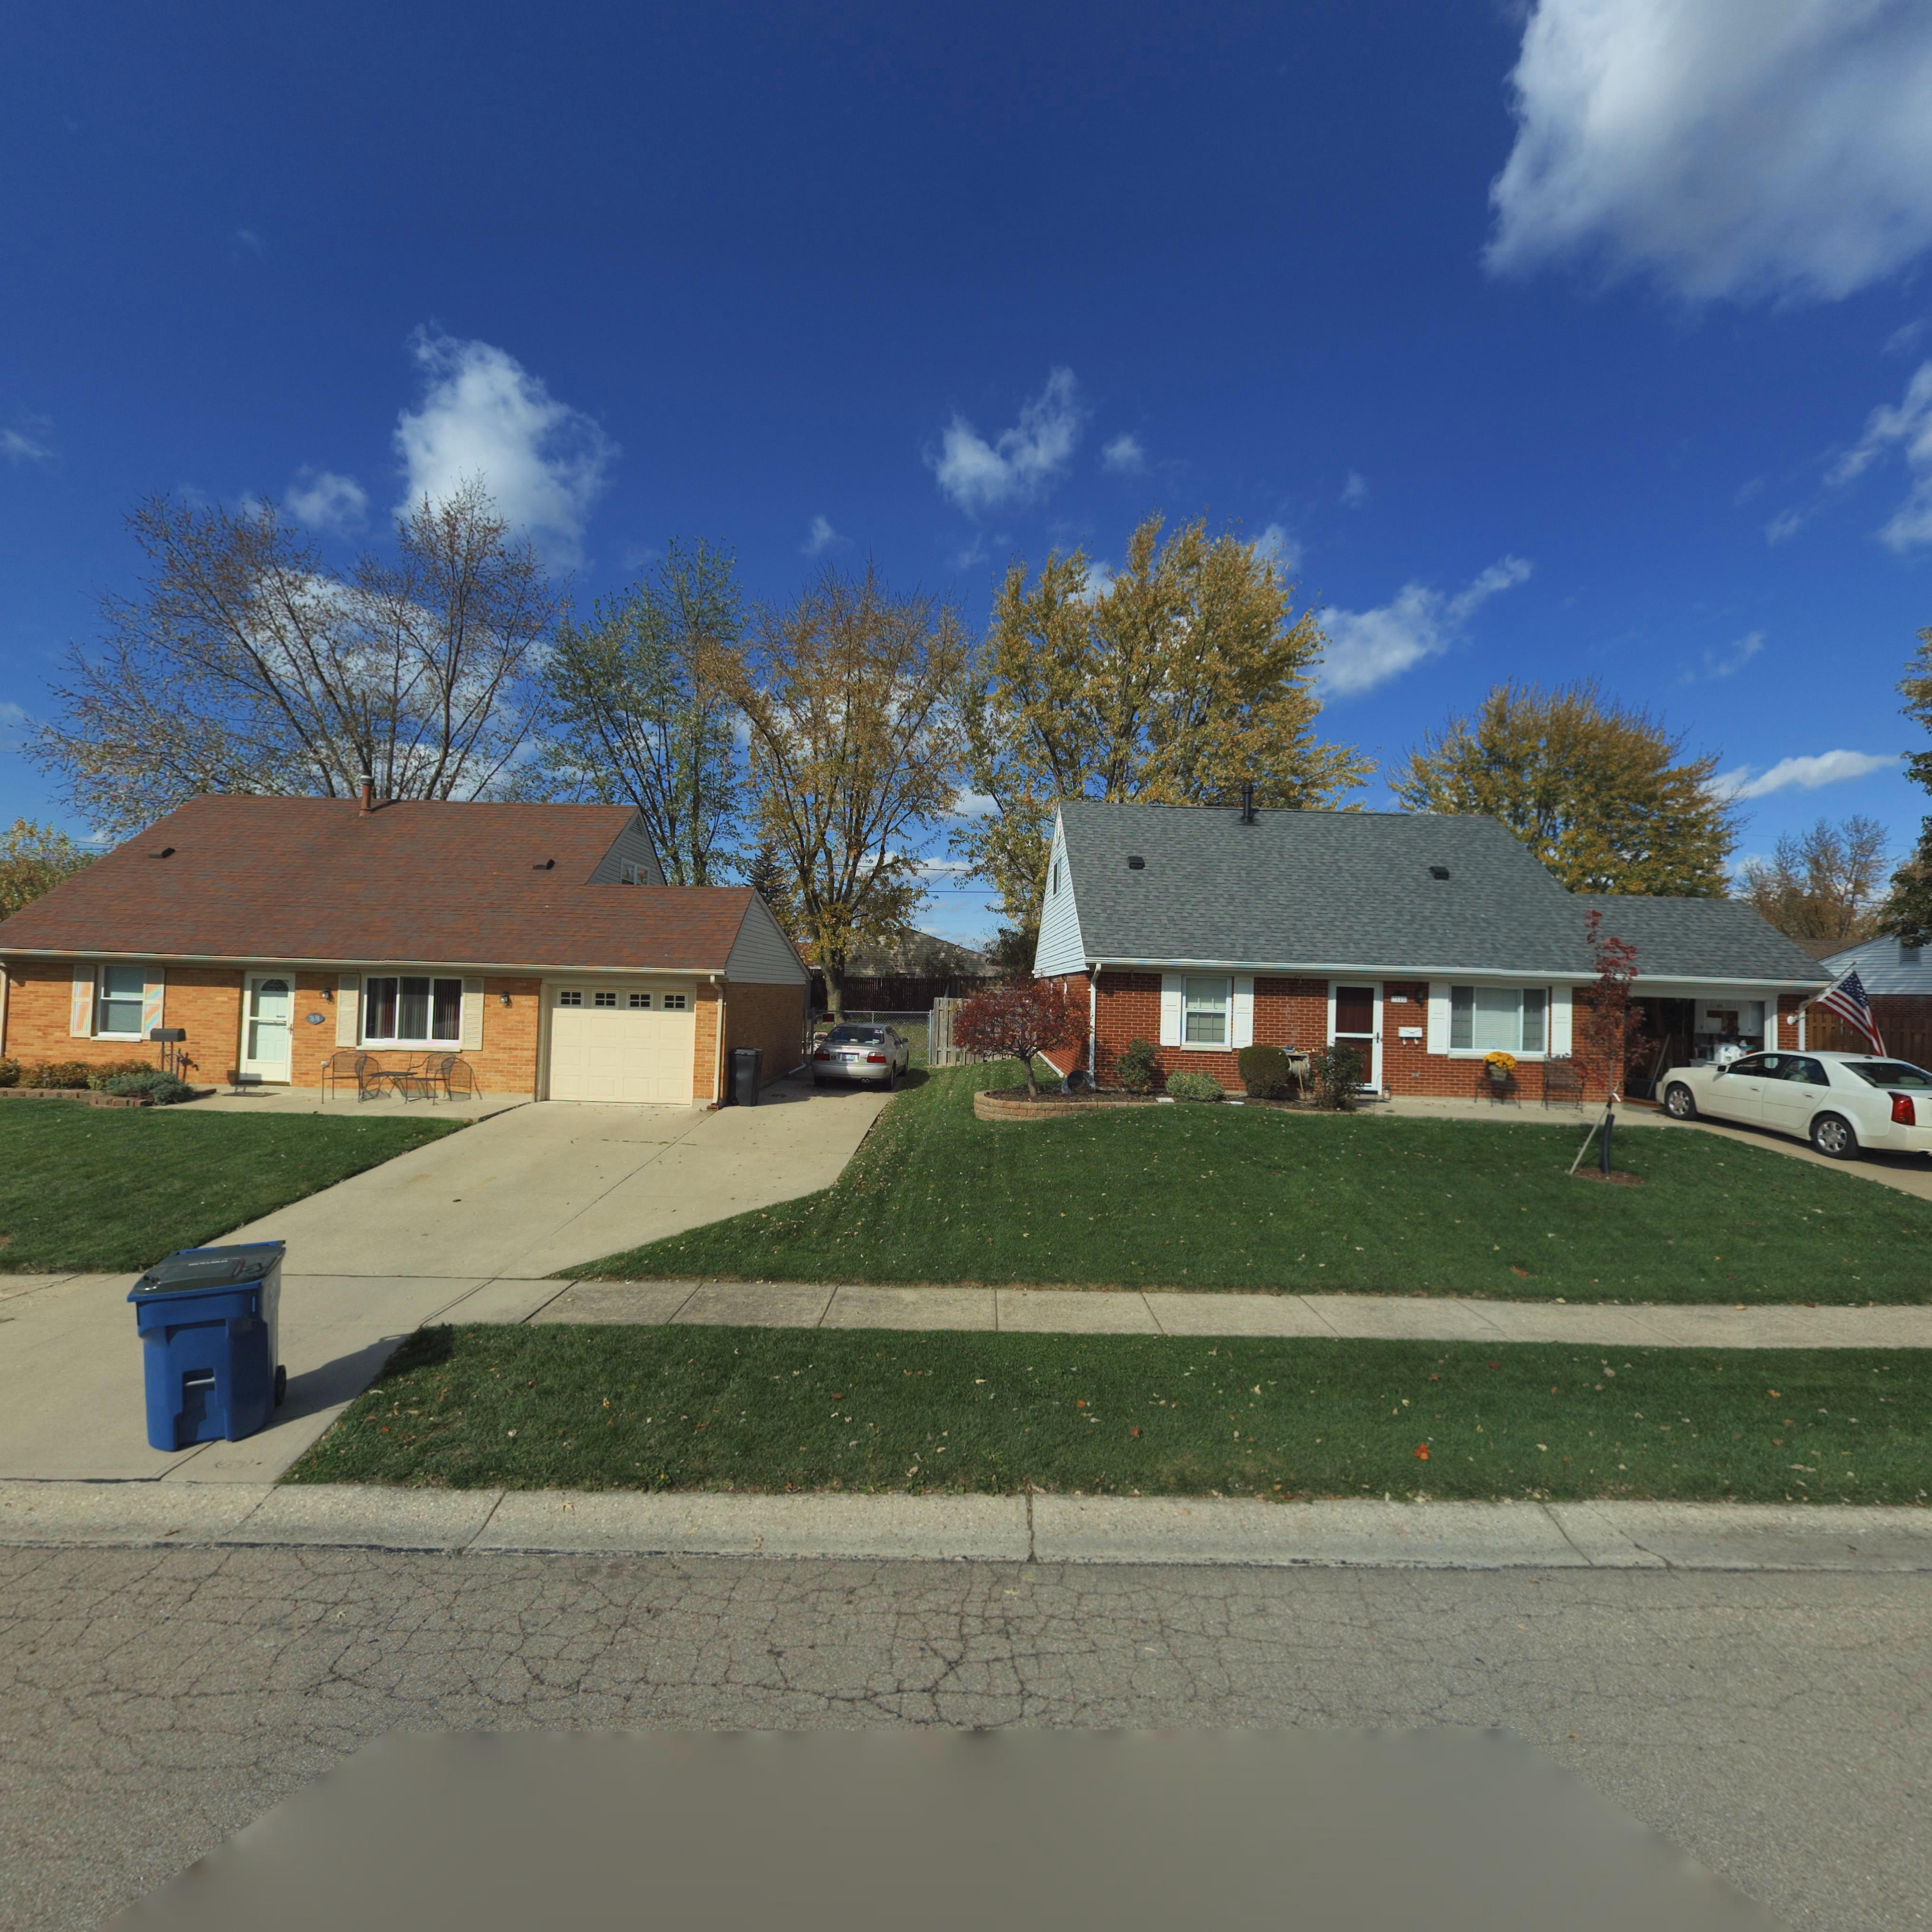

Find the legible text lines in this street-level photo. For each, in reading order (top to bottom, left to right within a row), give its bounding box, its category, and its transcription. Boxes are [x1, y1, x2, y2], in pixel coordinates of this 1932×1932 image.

[1392, 996, 1406, 1002] StreetNumber: 7645
[309, 1015, 320, 1023] StreetNumber: 7631